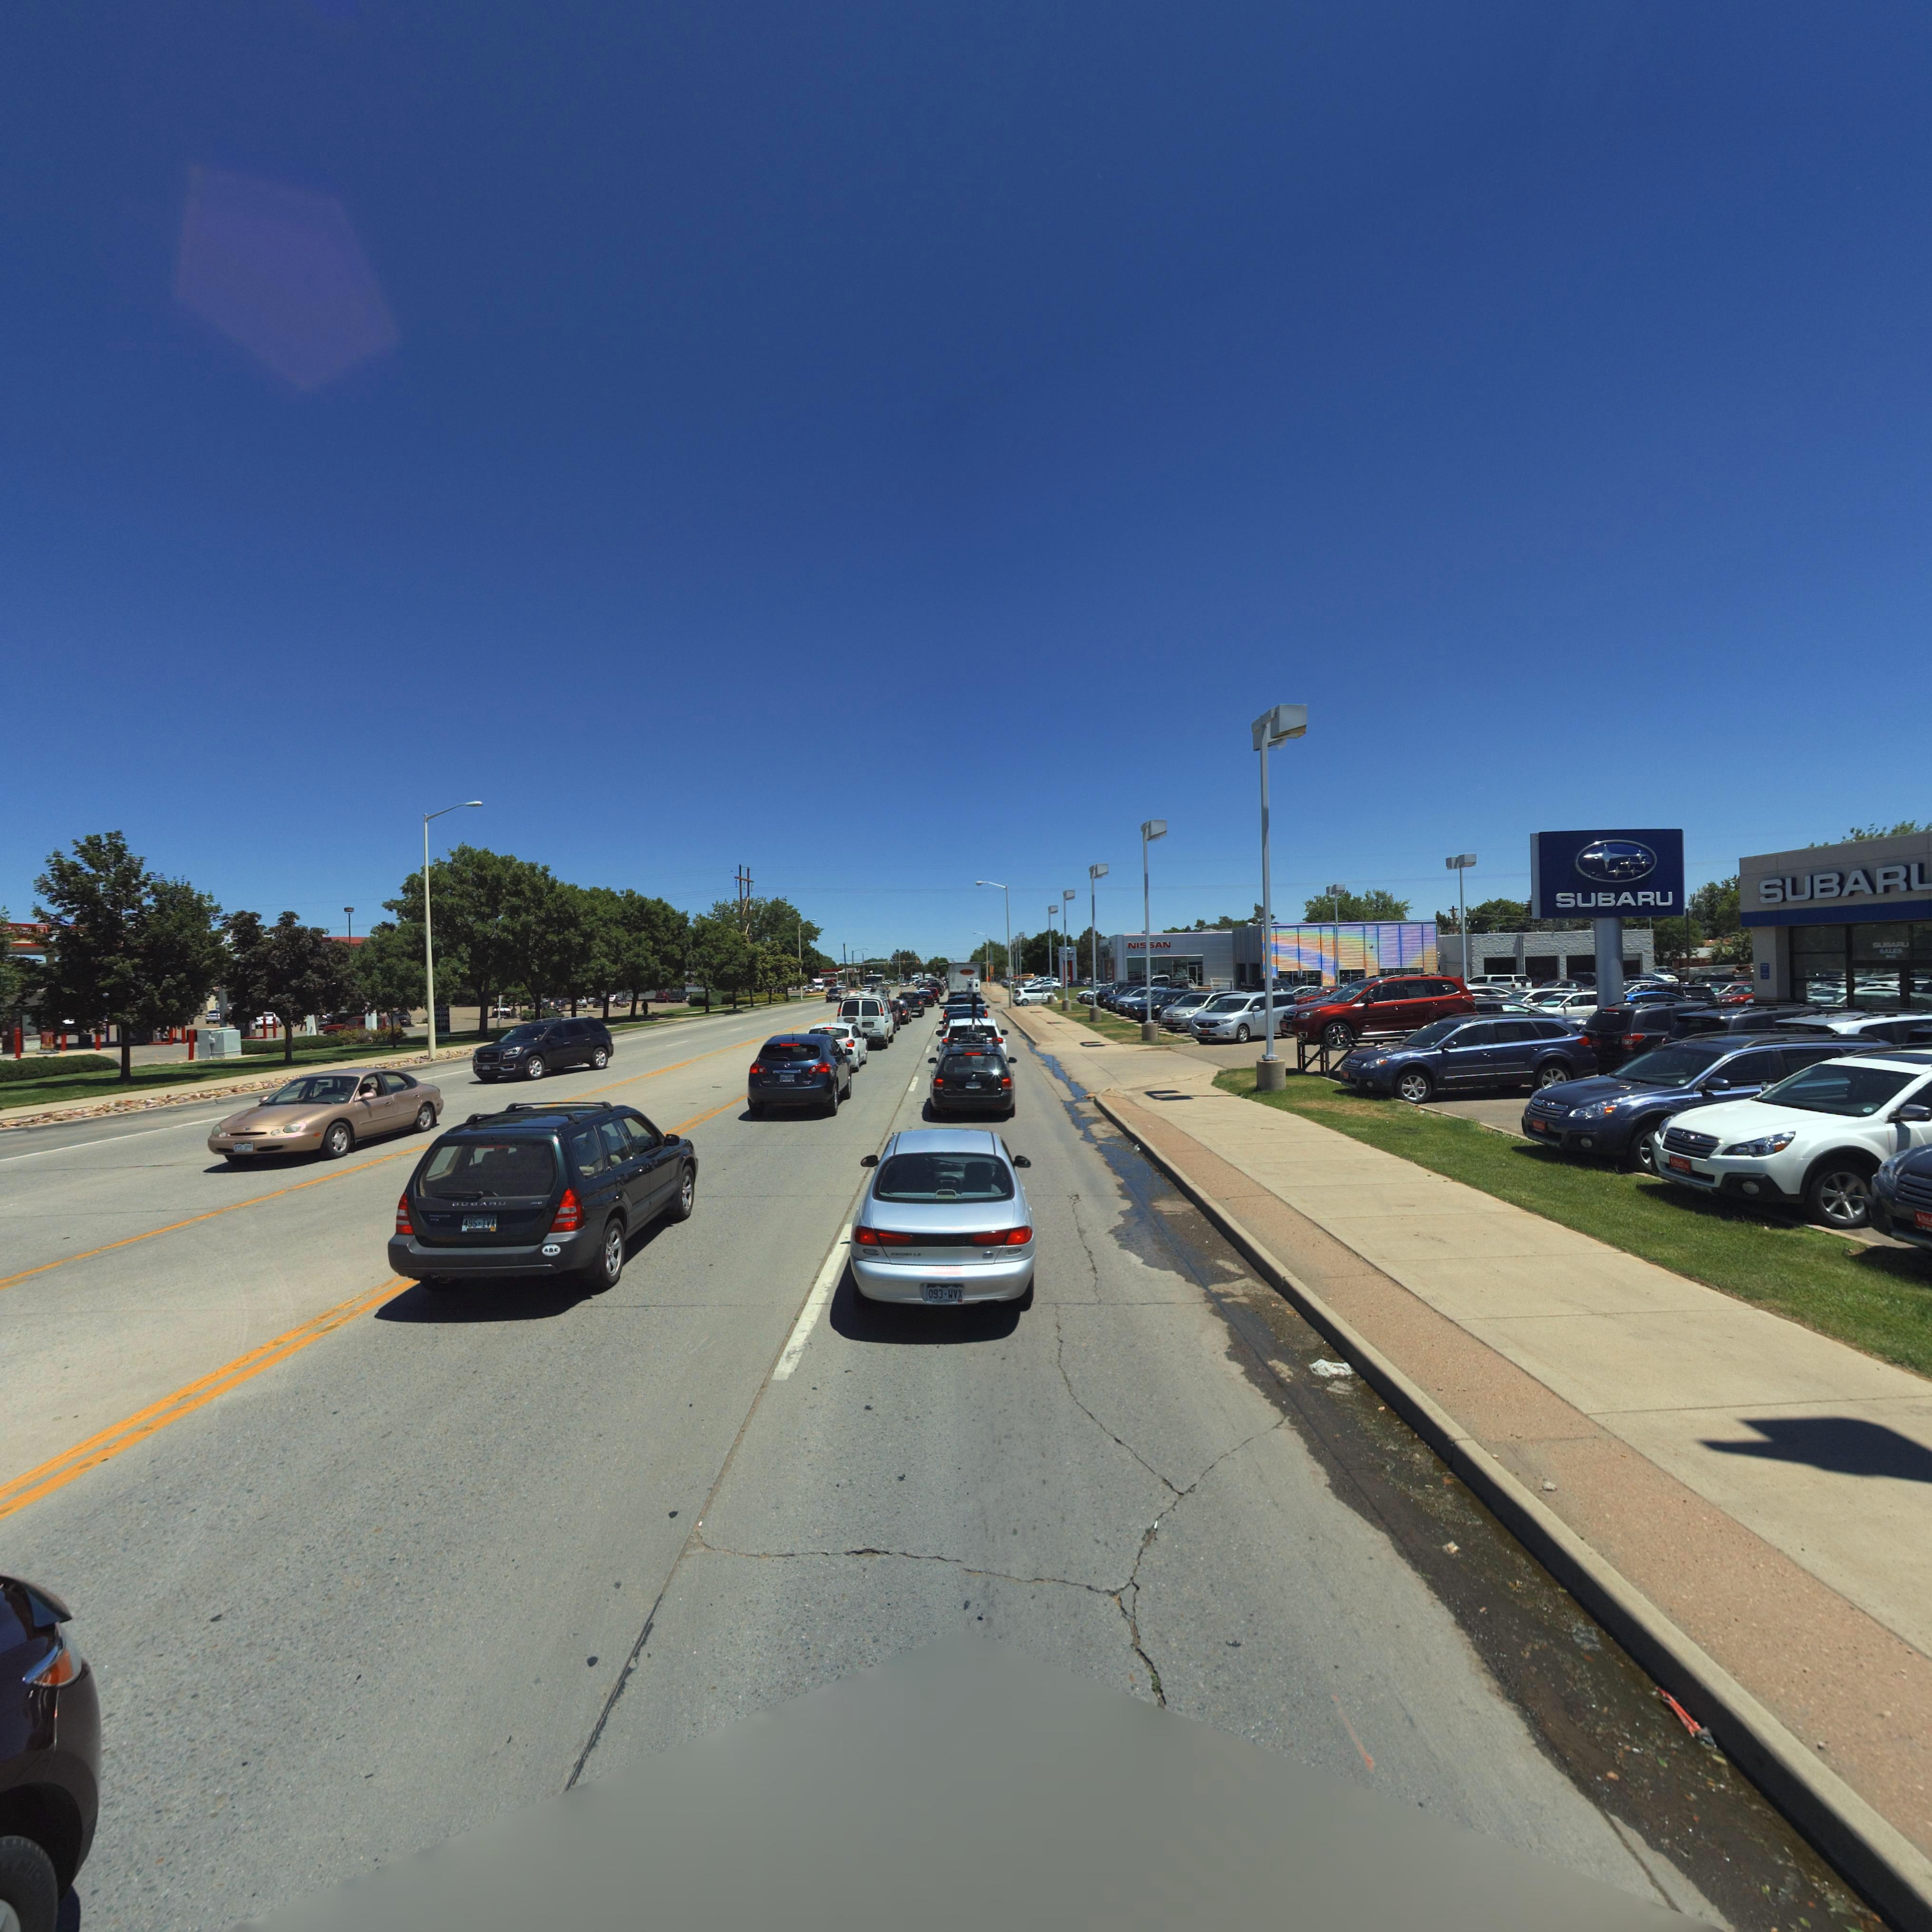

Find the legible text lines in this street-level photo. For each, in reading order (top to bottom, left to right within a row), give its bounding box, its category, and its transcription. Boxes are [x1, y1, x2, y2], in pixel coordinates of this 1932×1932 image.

[1758, 864, 1908, 904] BusinessName: SUBAR
[1555, 890, 1673, 908] BusinessName: SUBARU
[1128, 941, 1170, 948] BusinessName: NIS*AN
[1872, 941, 1910, 948] BusinessName: SUBARU
[685, 983, 694, 986] BusinessName: *AS